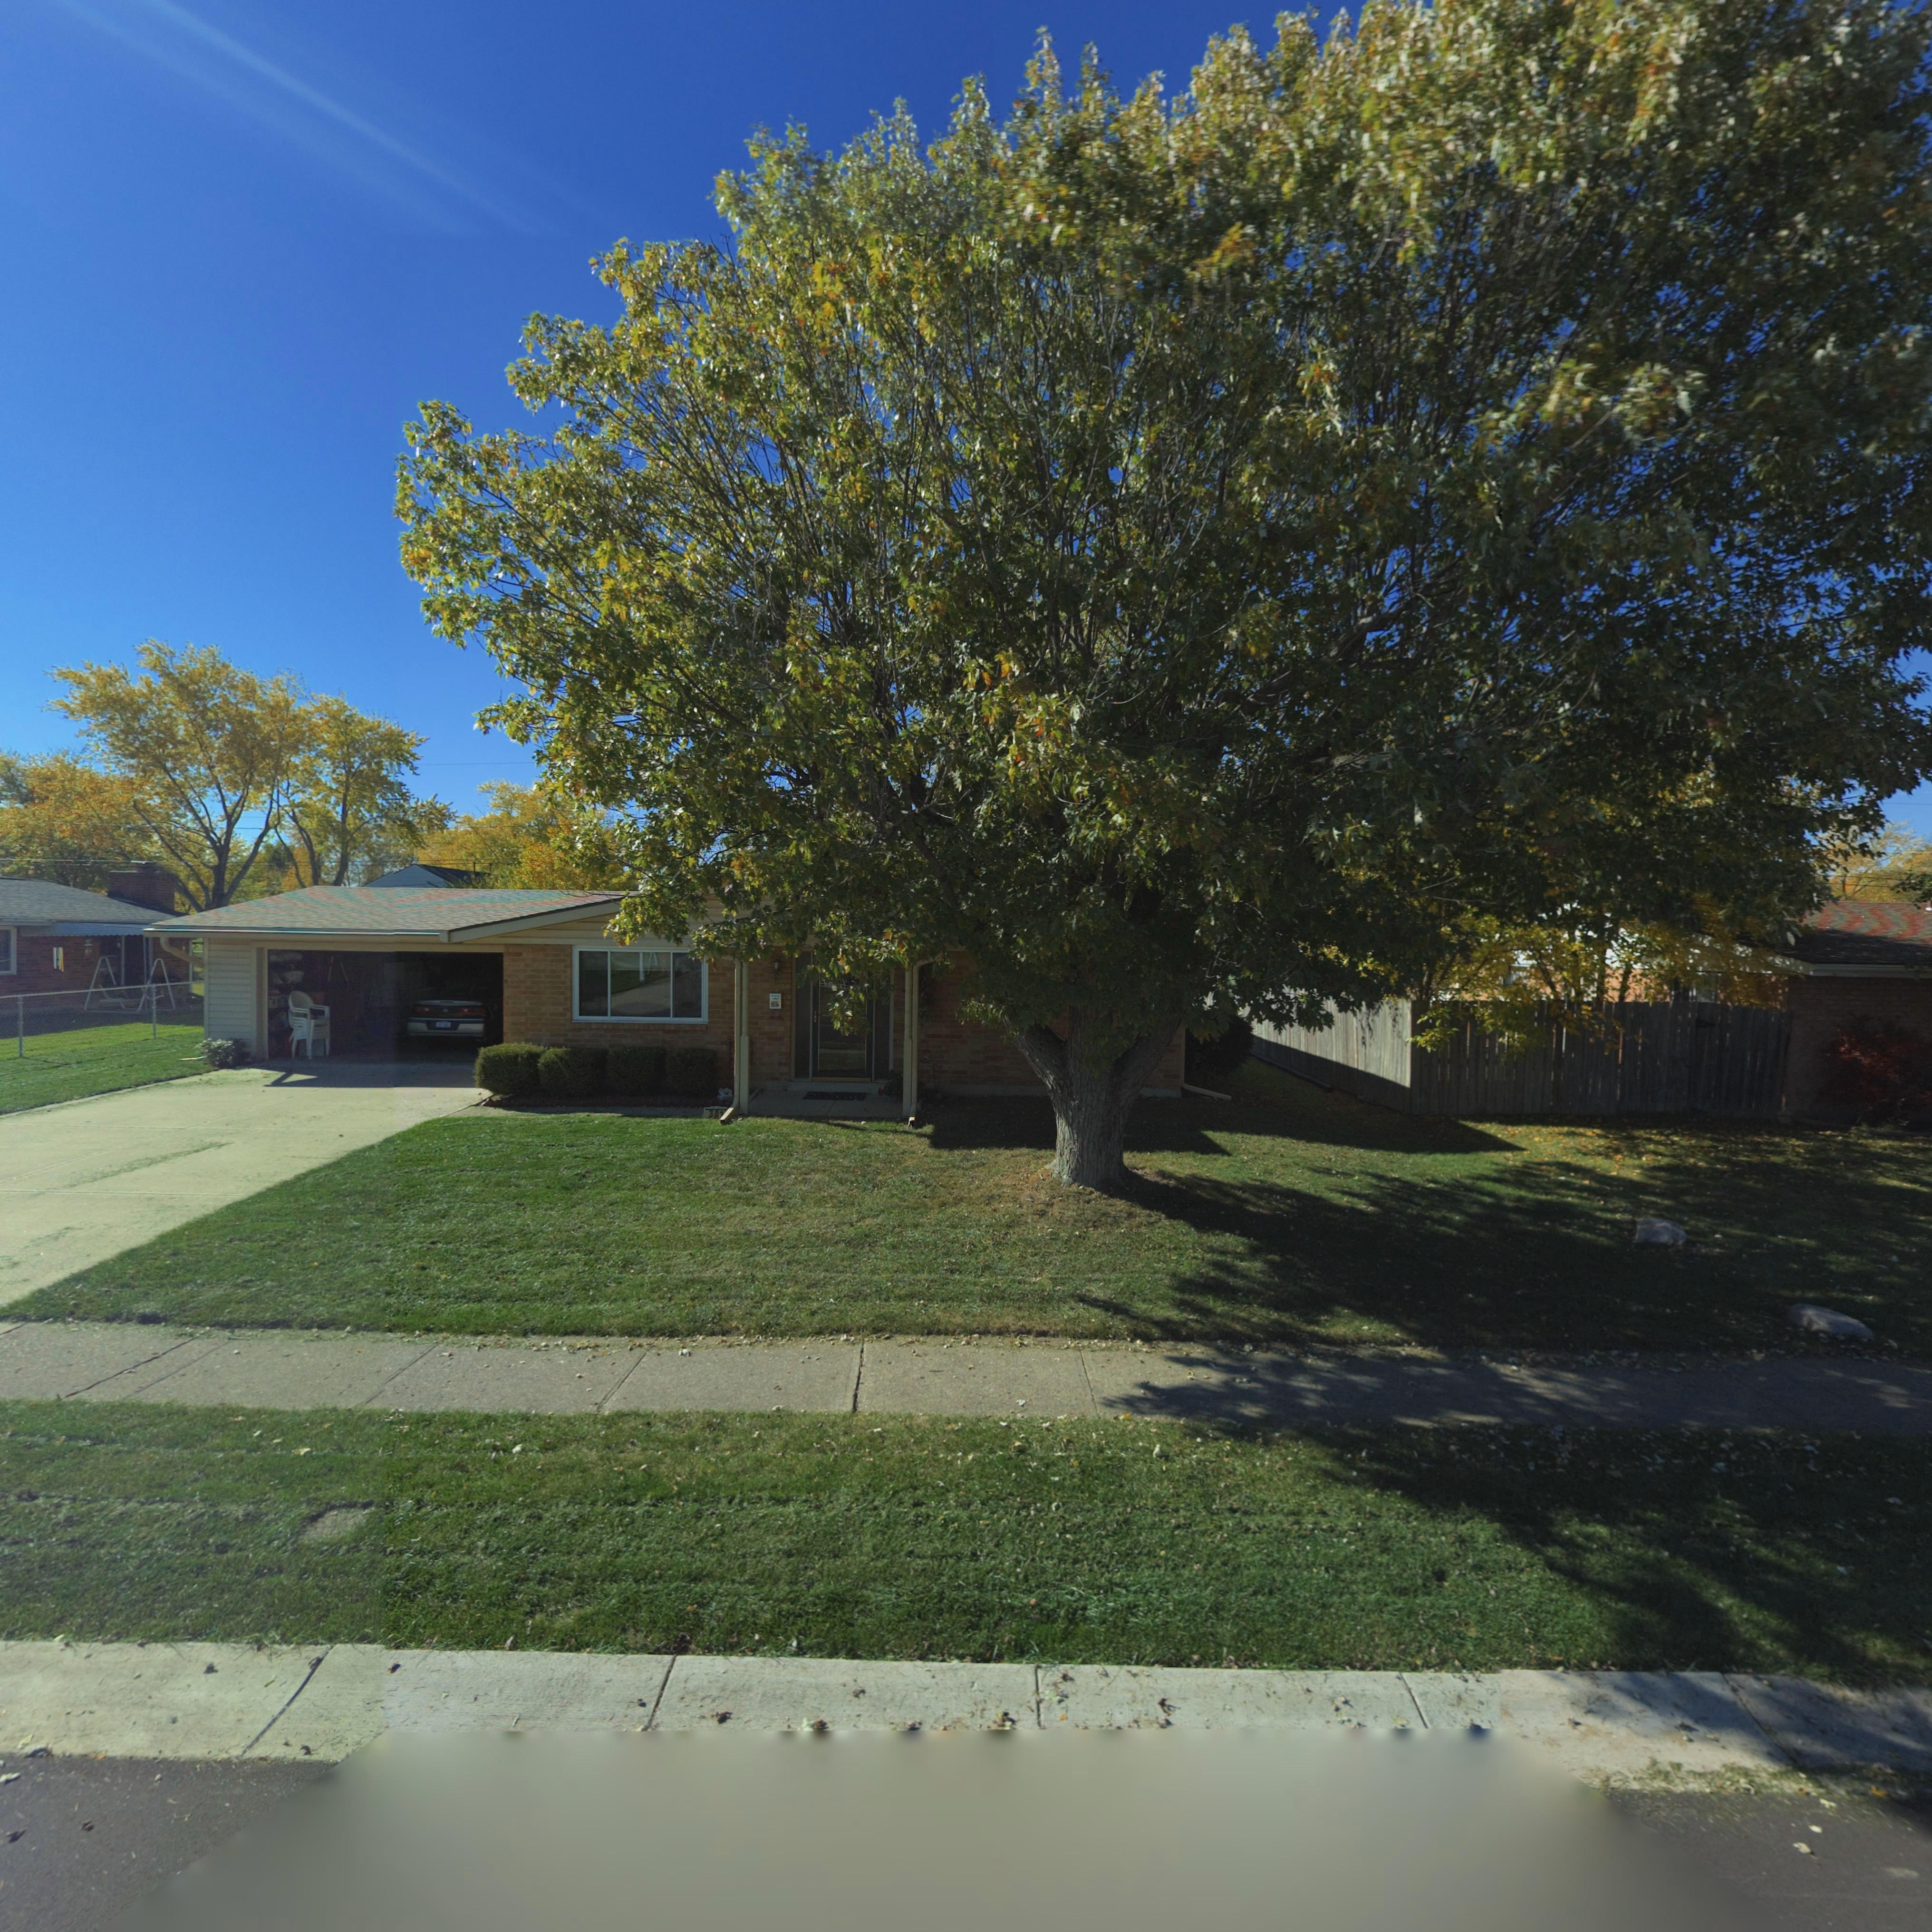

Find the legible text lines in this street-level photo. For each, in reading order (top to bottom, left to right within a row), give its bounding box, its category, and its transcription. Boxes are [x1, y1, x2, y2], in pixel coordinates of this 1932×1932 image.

[771, 1001, 780, 1007] StreetNumber: 302
[709, 1109, 719, 1119] StreetNumber: 30